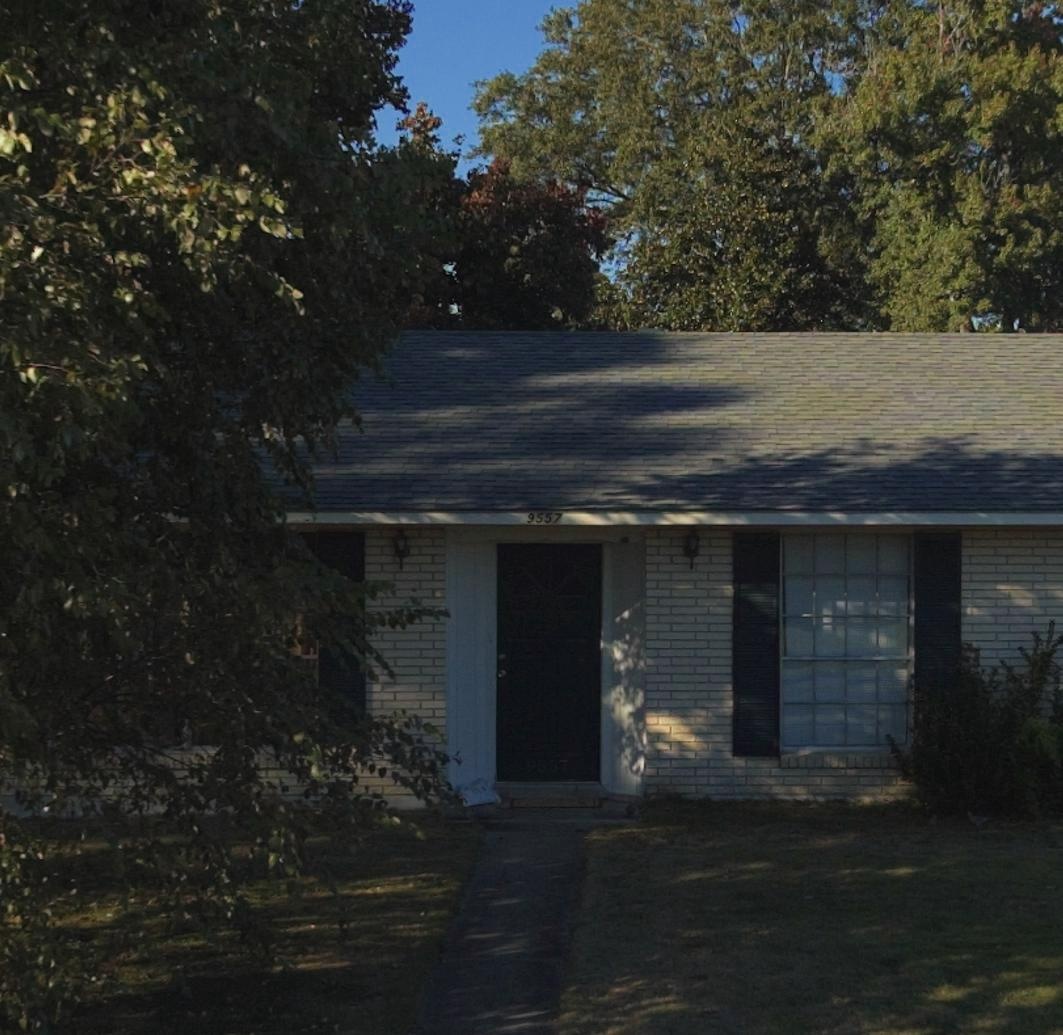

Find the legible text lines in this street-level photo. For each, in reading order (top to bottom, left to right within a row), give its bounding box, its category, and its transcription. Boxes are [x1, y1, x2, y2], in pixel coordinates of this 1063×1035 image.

[526, 512, 565, 525] StreetNumber: 9557